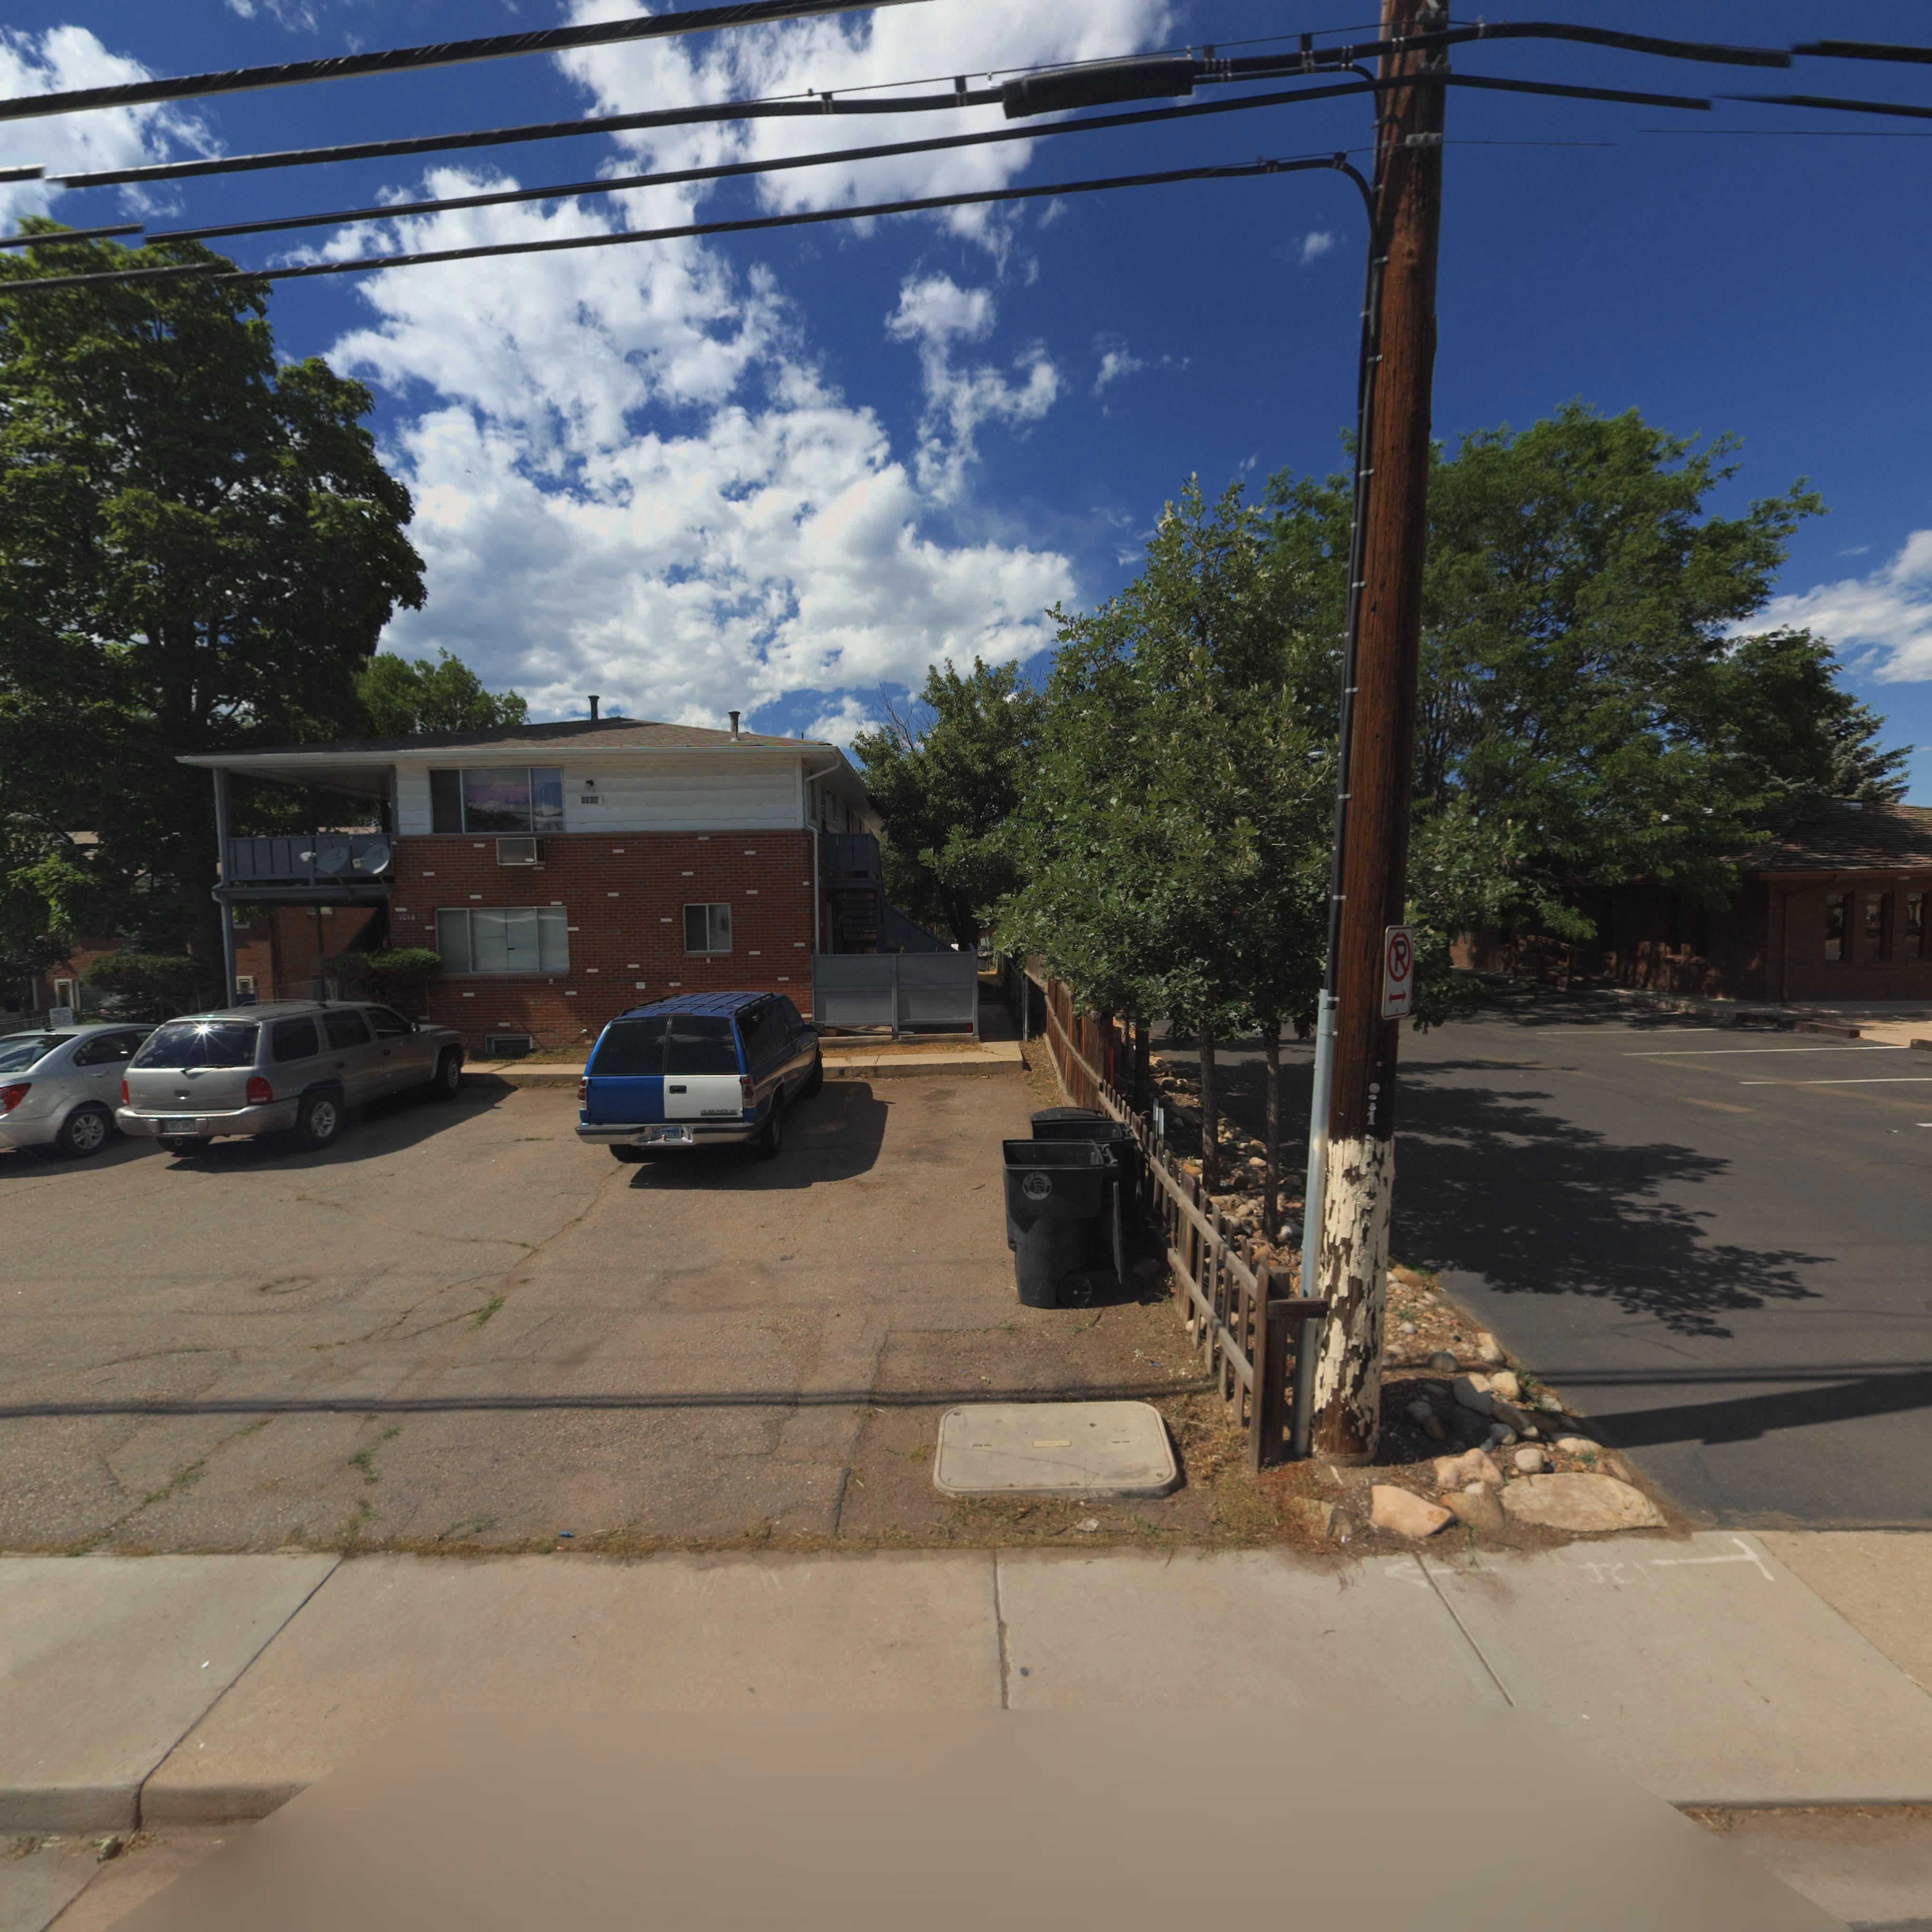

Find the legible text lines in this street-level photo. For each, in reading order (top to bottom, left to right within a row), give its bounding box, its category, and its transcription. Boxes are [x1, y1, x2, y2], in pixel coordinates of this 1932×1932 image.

[581, 796, 599, 804] StreetNumber: 101*
[397, 913, 415, 921] StreetNumber: 1014